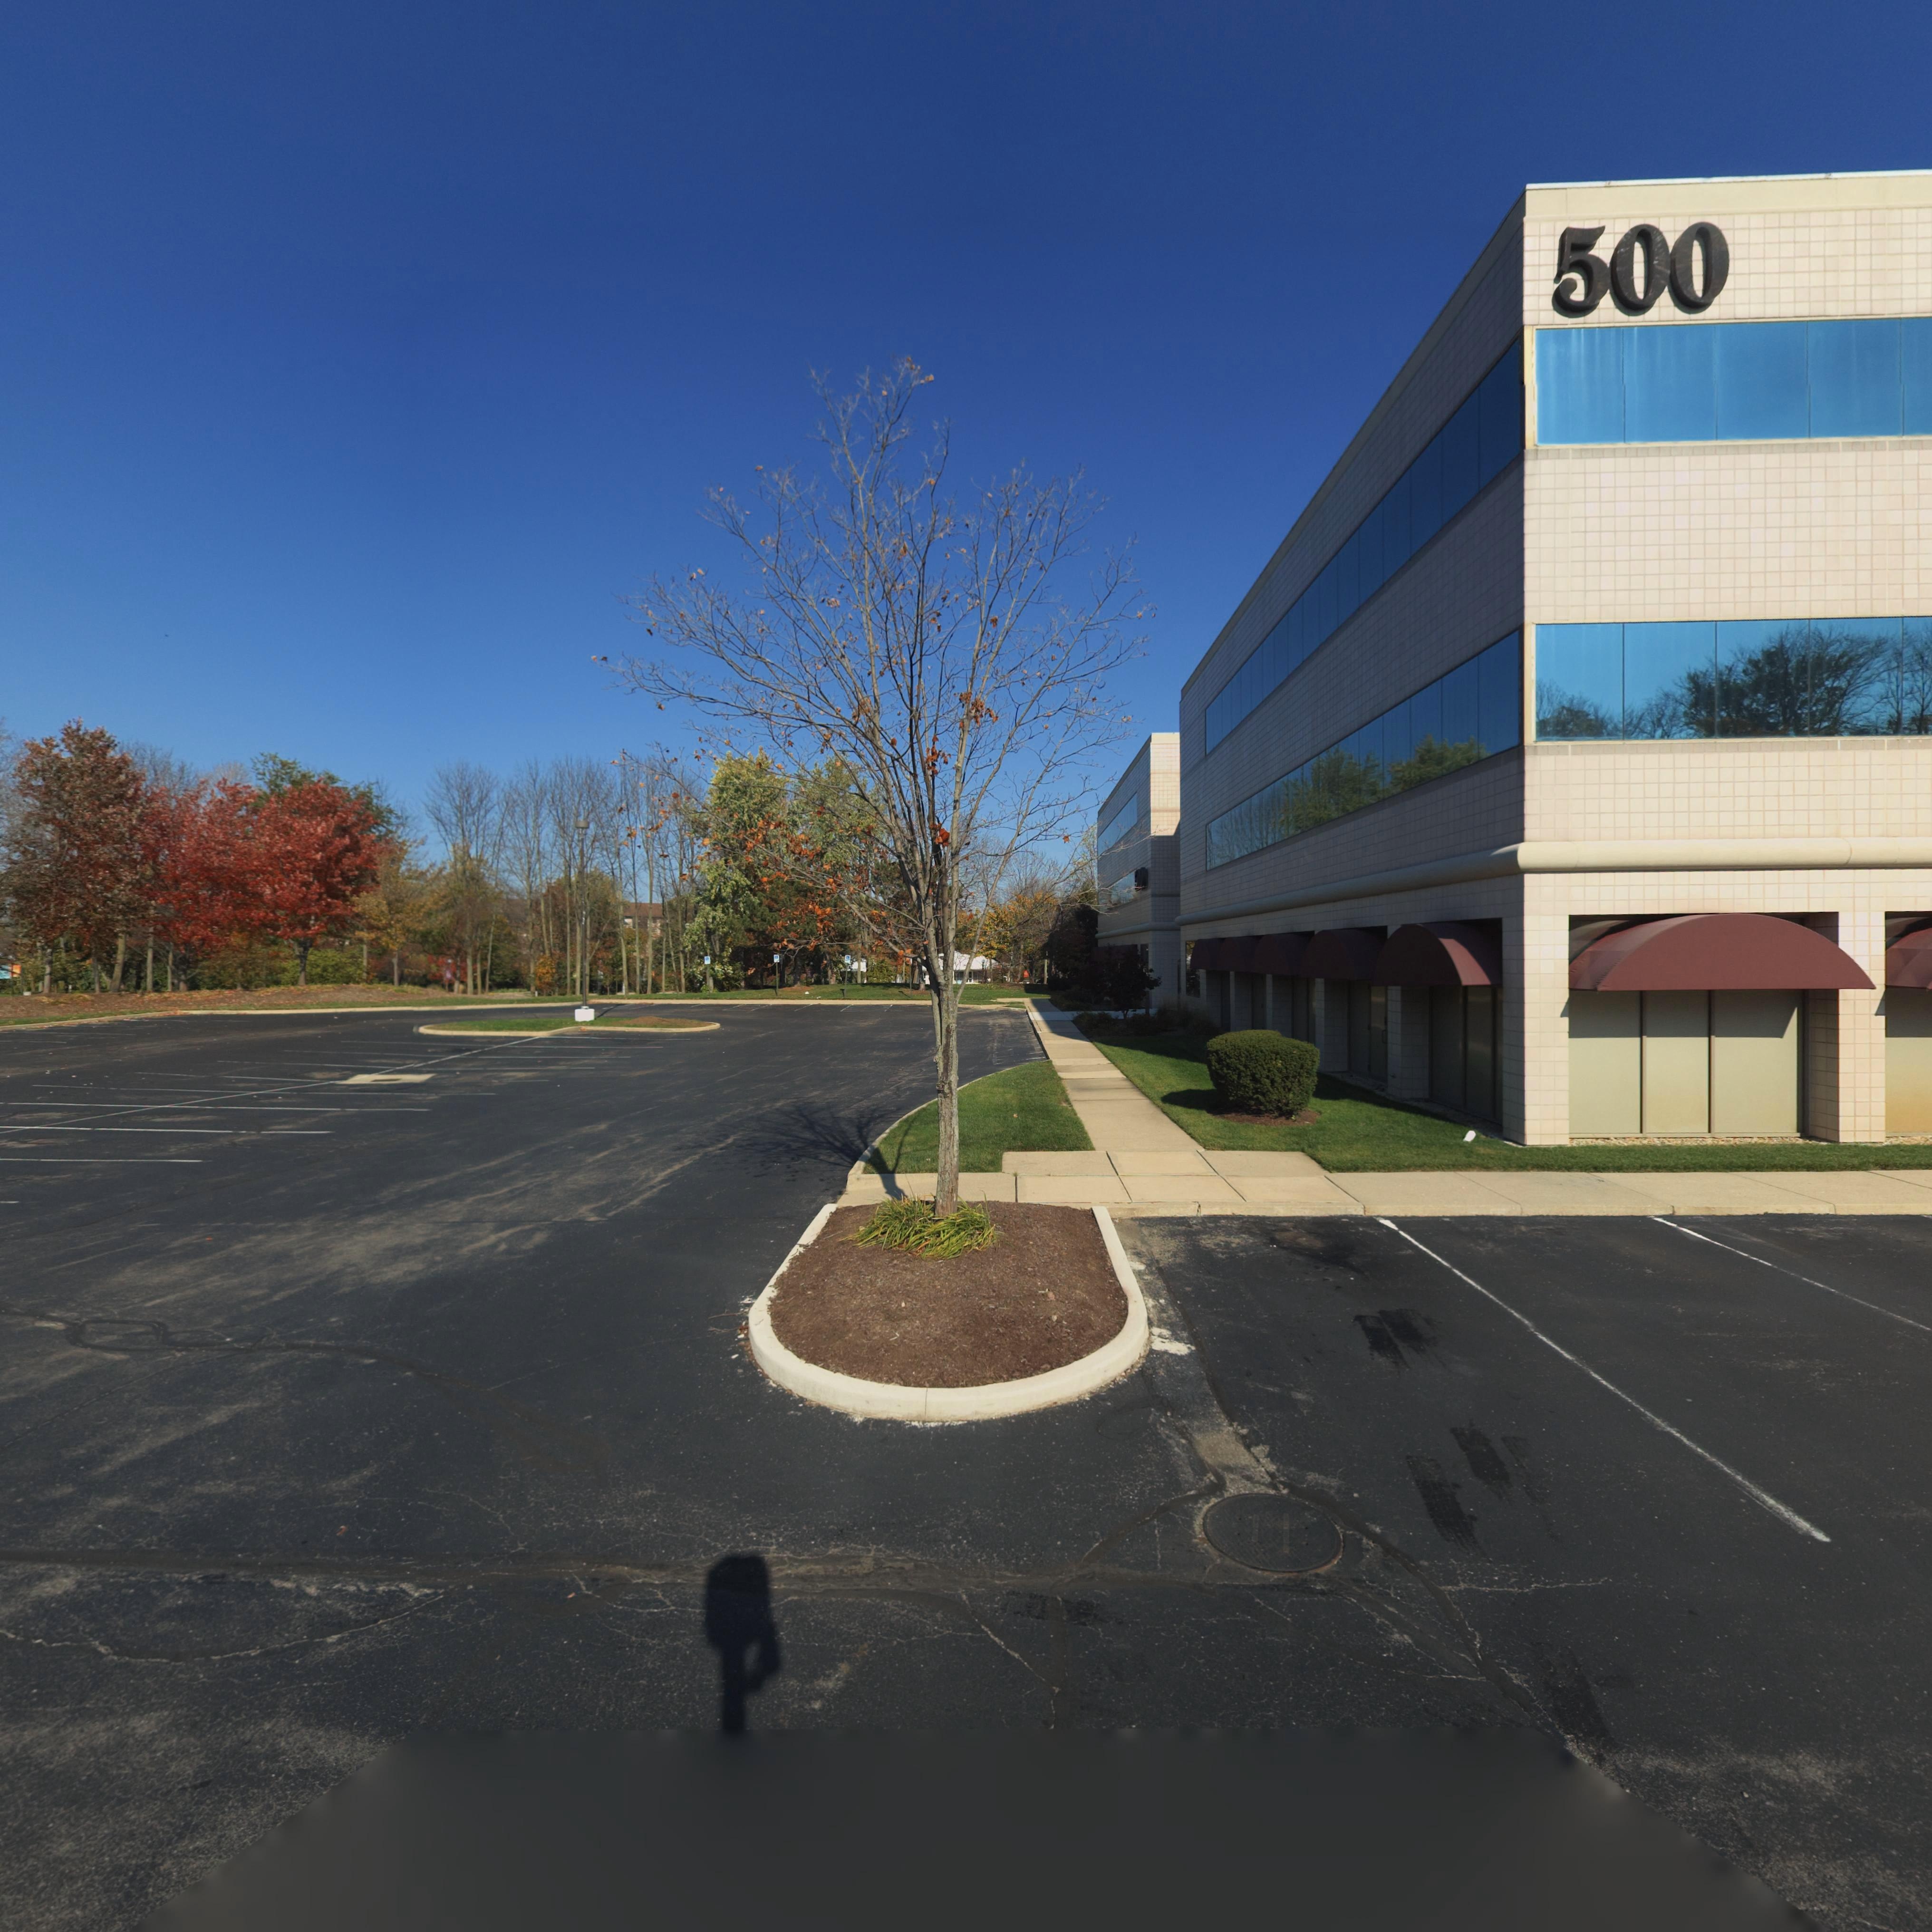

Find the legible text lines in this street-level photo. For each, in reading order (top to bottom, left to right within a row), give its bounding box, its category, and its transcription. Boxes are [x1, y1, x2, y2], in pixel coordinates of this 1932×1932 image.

[1551, 220, 1731, 310] StreetNumber: 500